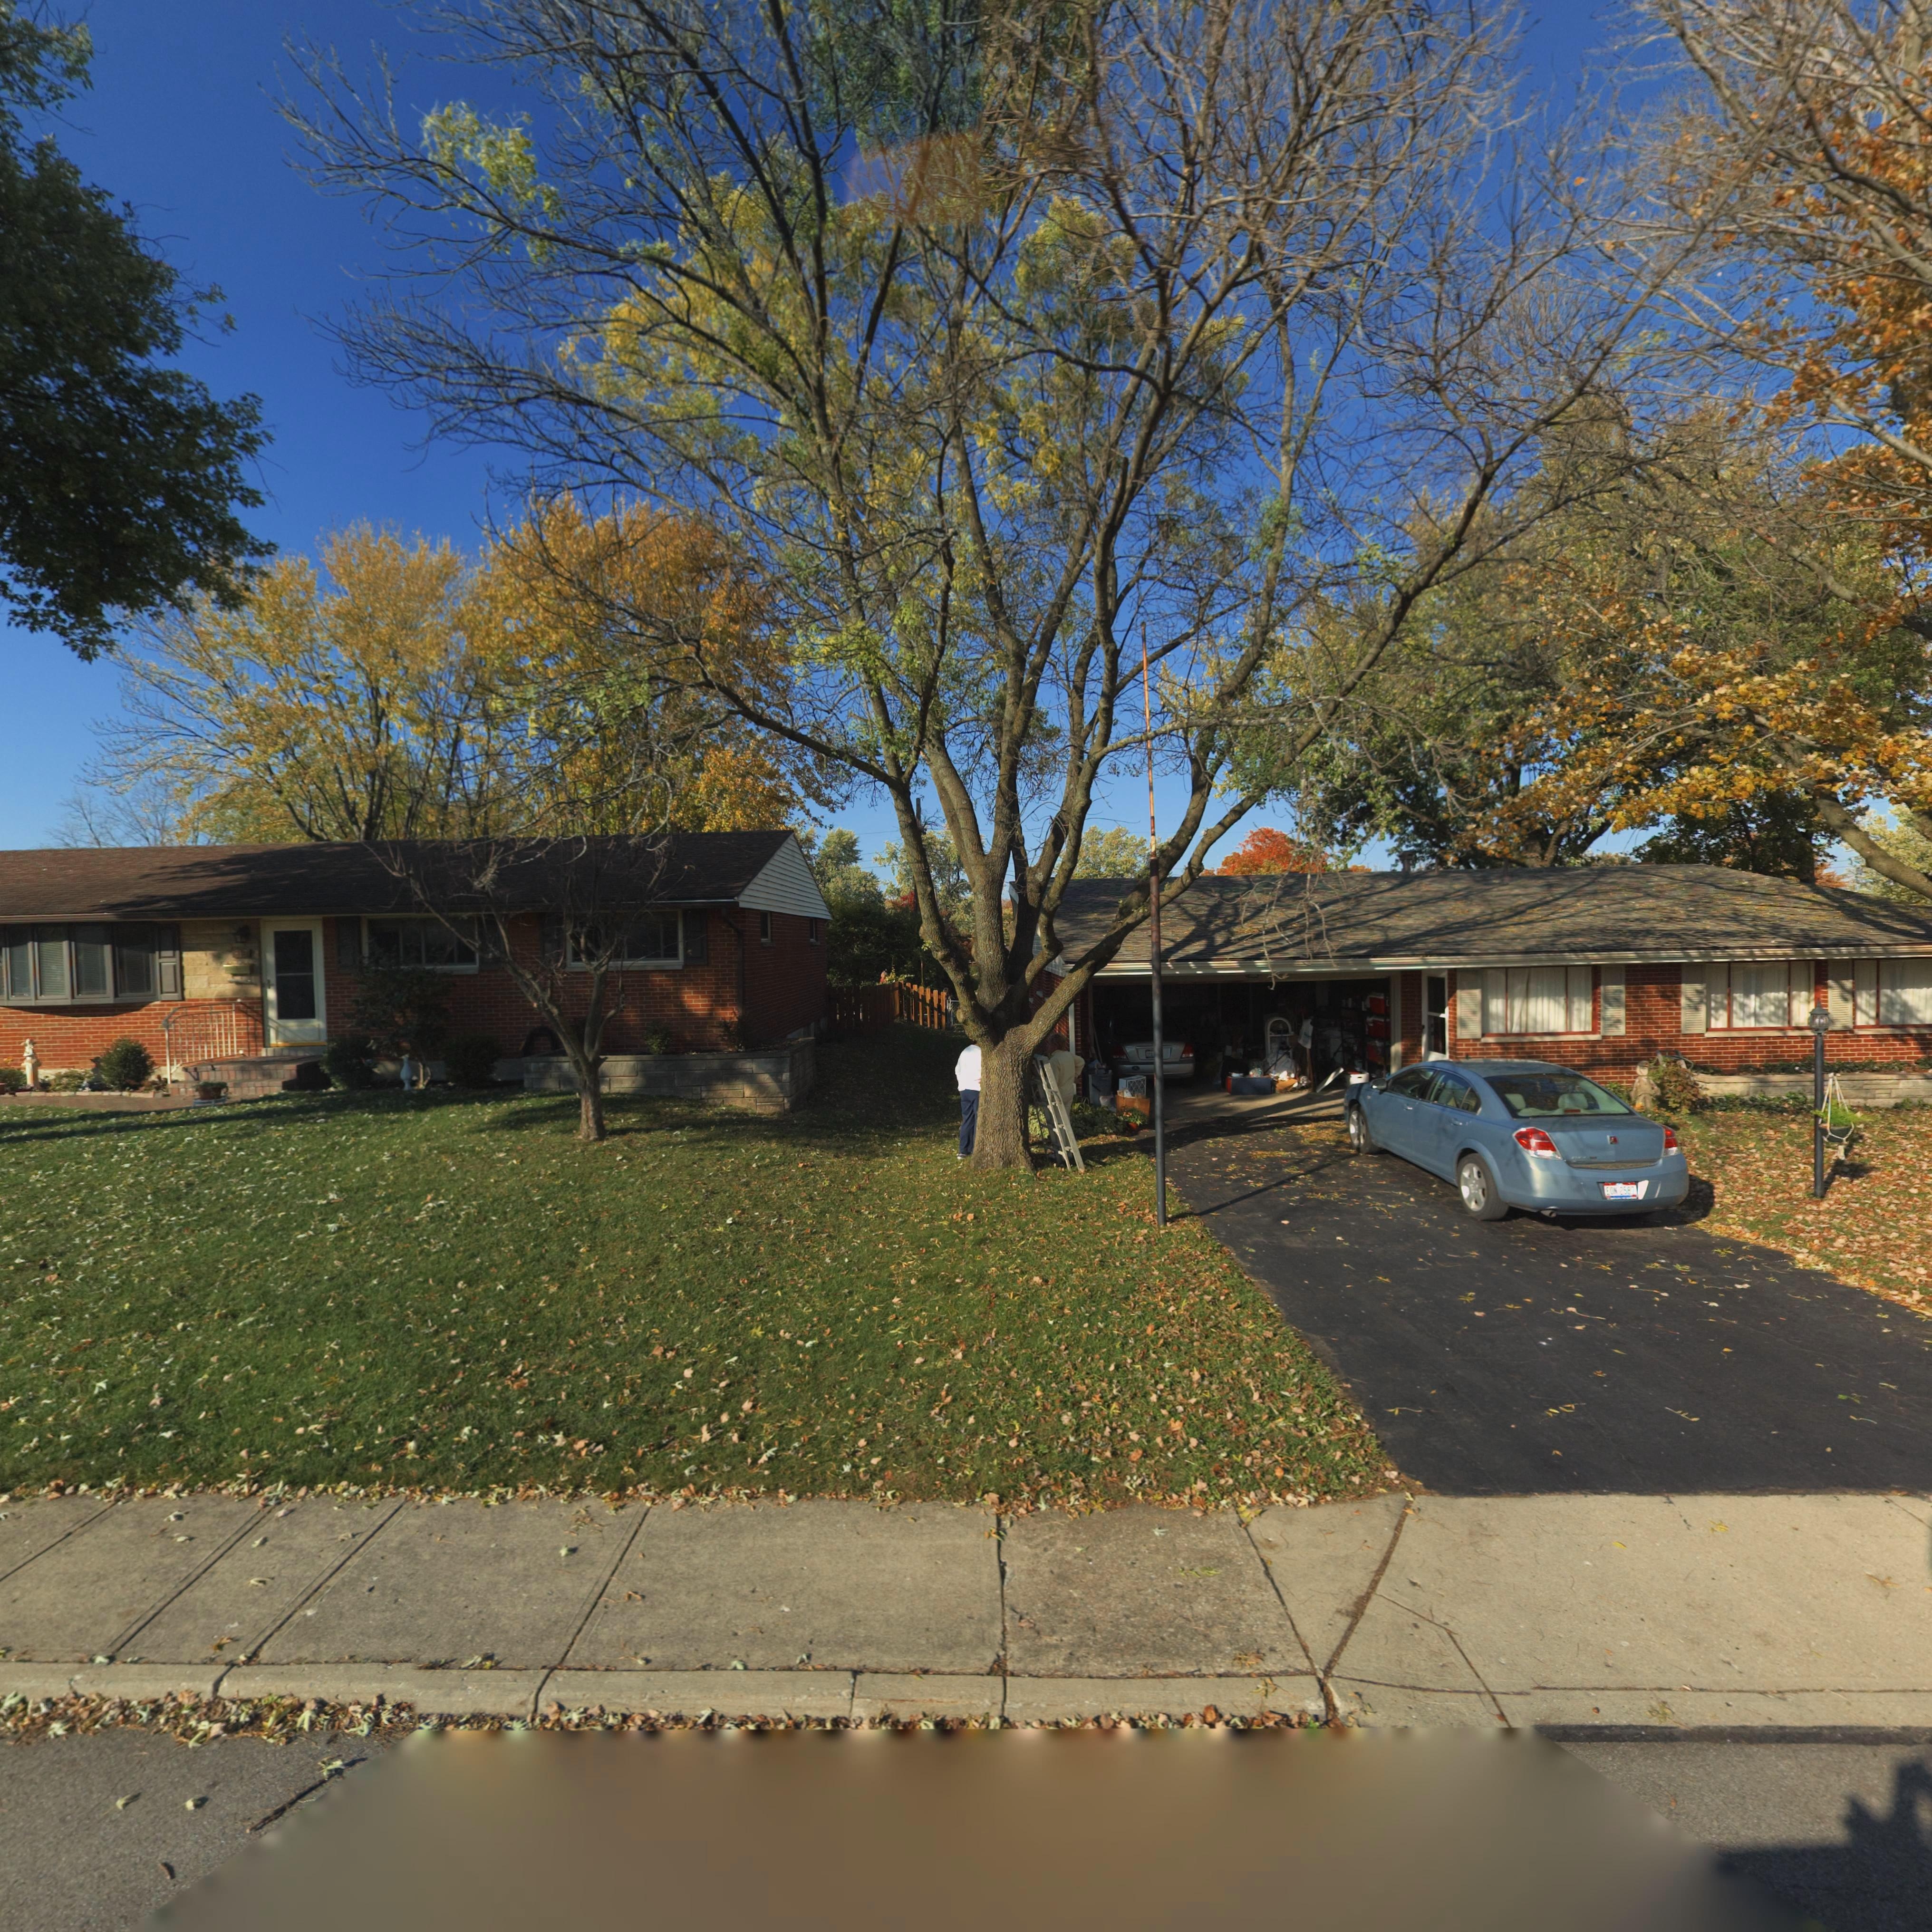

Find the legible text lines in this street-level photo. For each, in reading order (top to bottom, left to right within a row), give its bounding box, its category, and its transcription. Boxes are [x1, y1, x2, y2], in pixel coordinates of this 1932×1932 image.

[234, 949, 248, 957] StreetNumber: 813